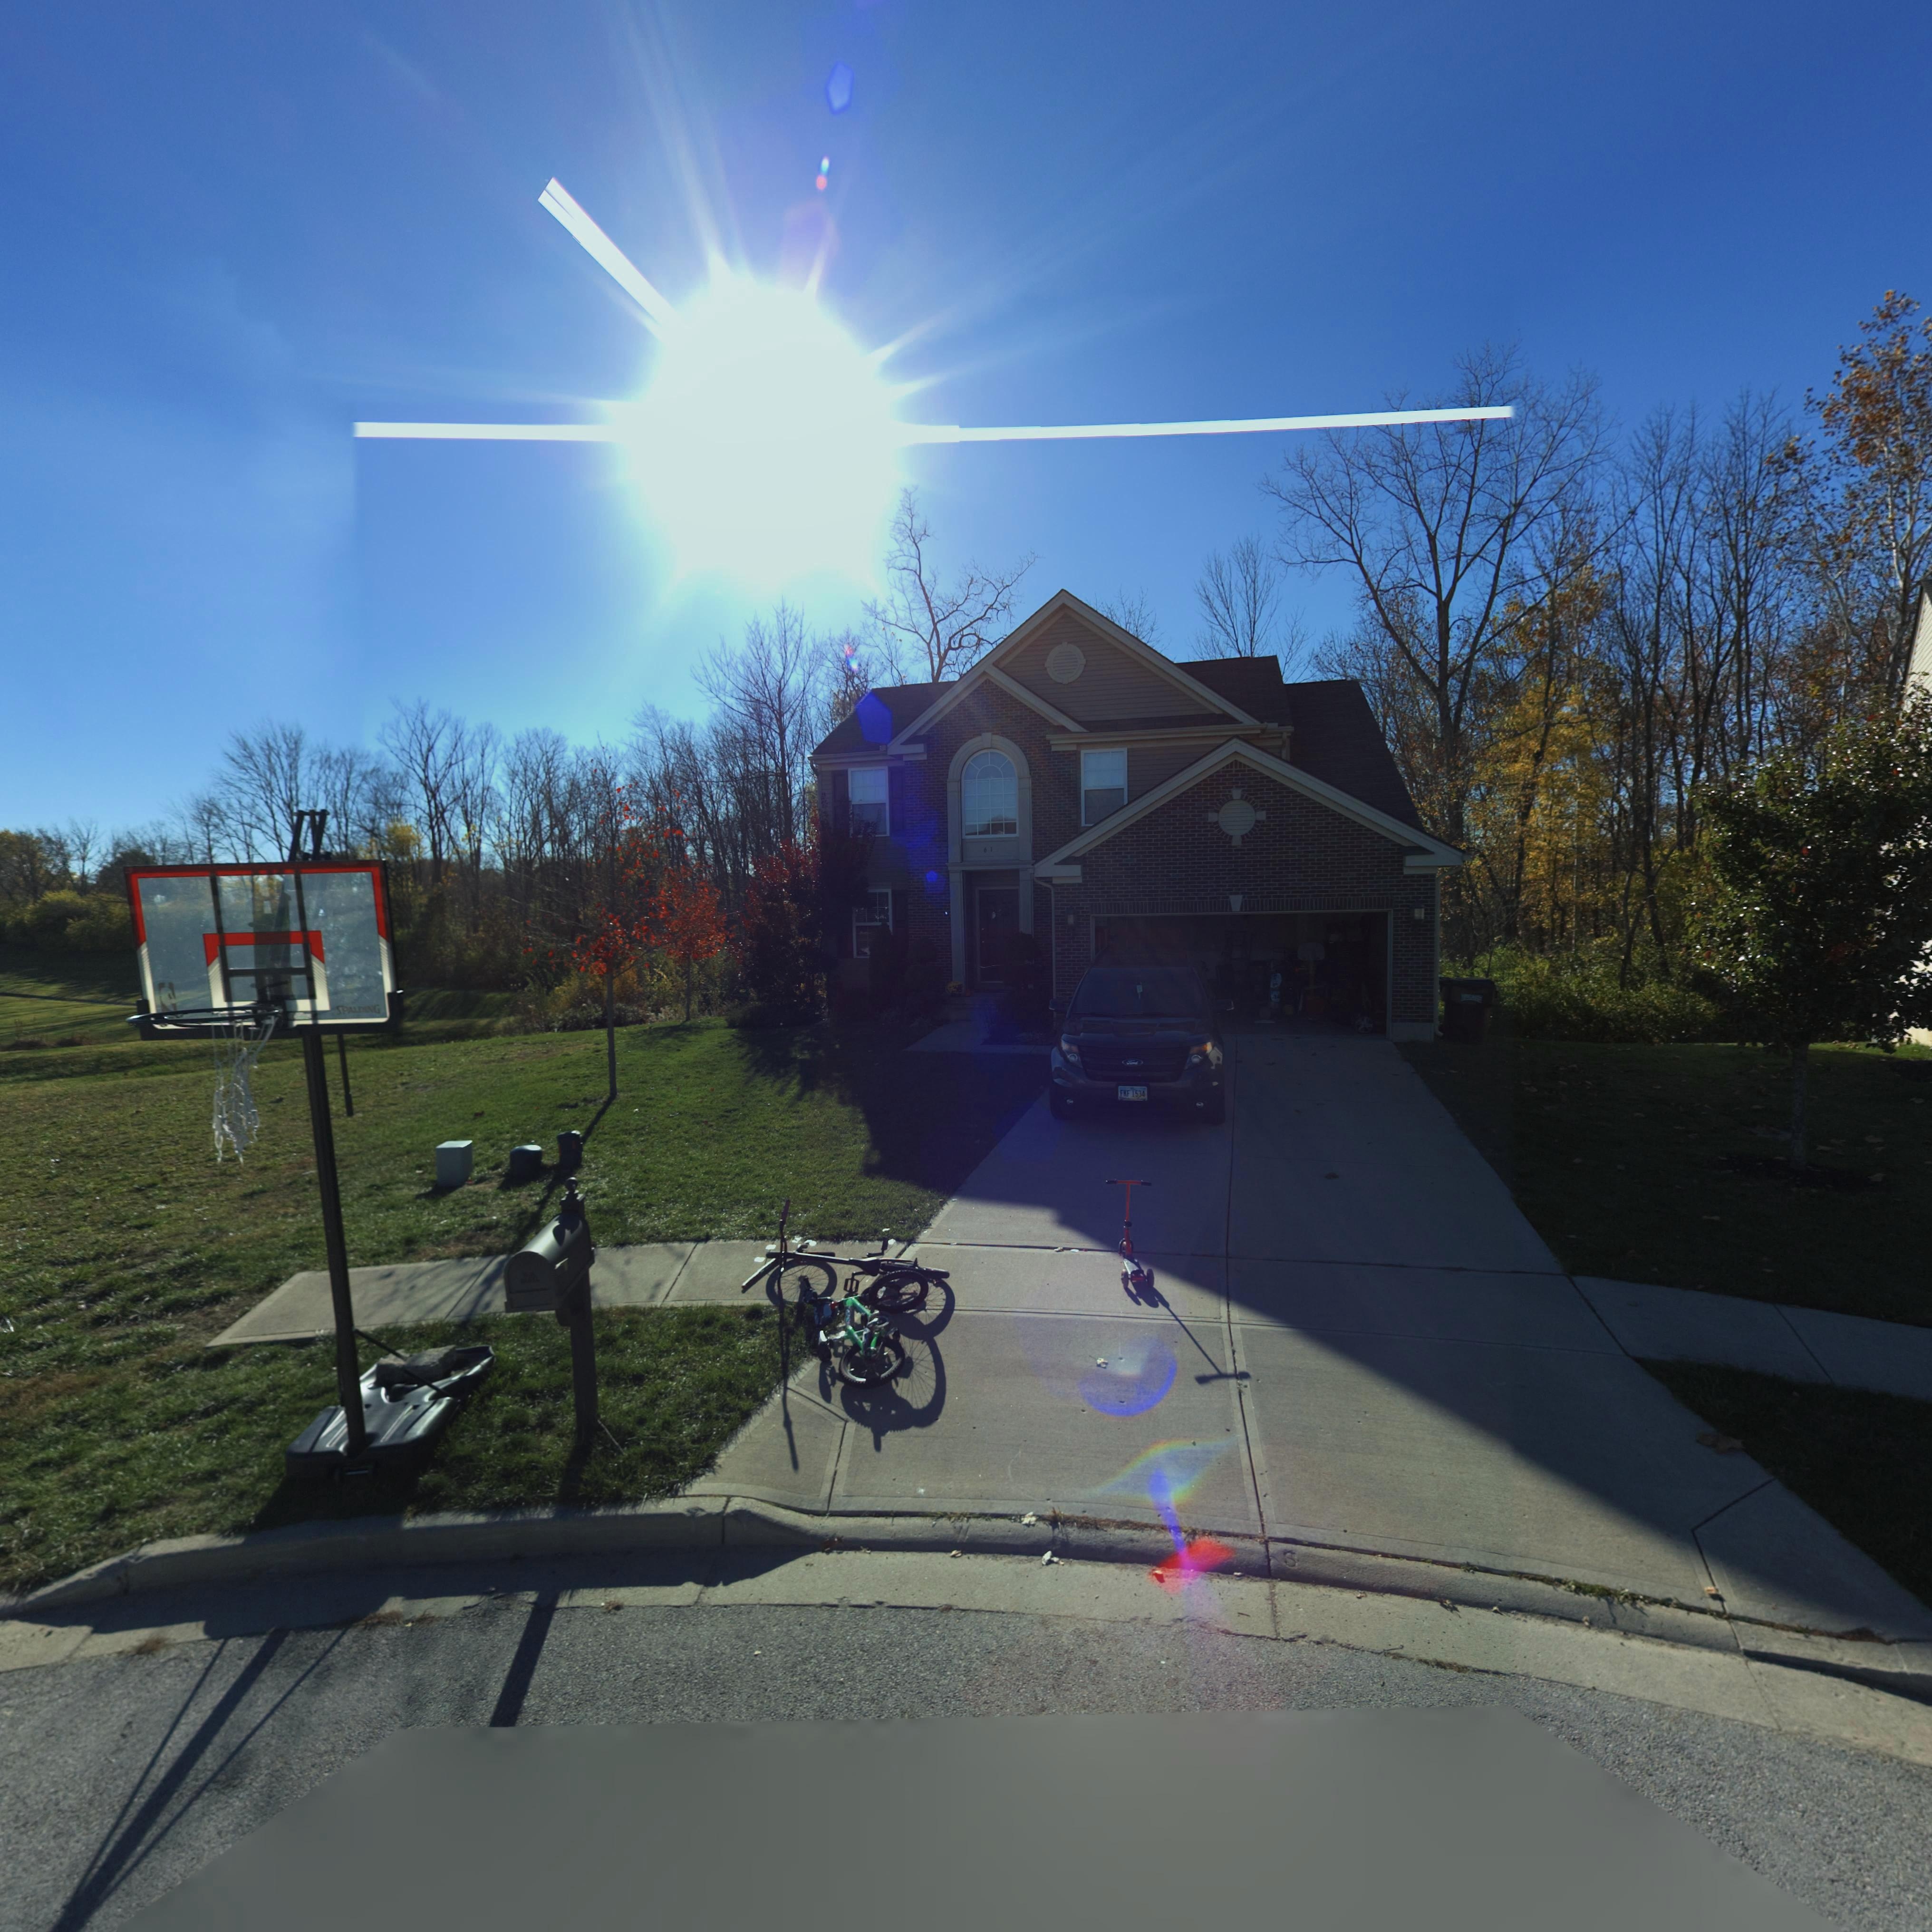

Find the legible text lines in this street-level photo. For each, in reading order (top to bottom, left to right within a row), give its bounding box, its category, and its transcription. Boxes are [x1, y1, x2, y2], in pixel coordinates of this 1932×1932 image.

[983, 846, 993, 853] StreetNumber: 61